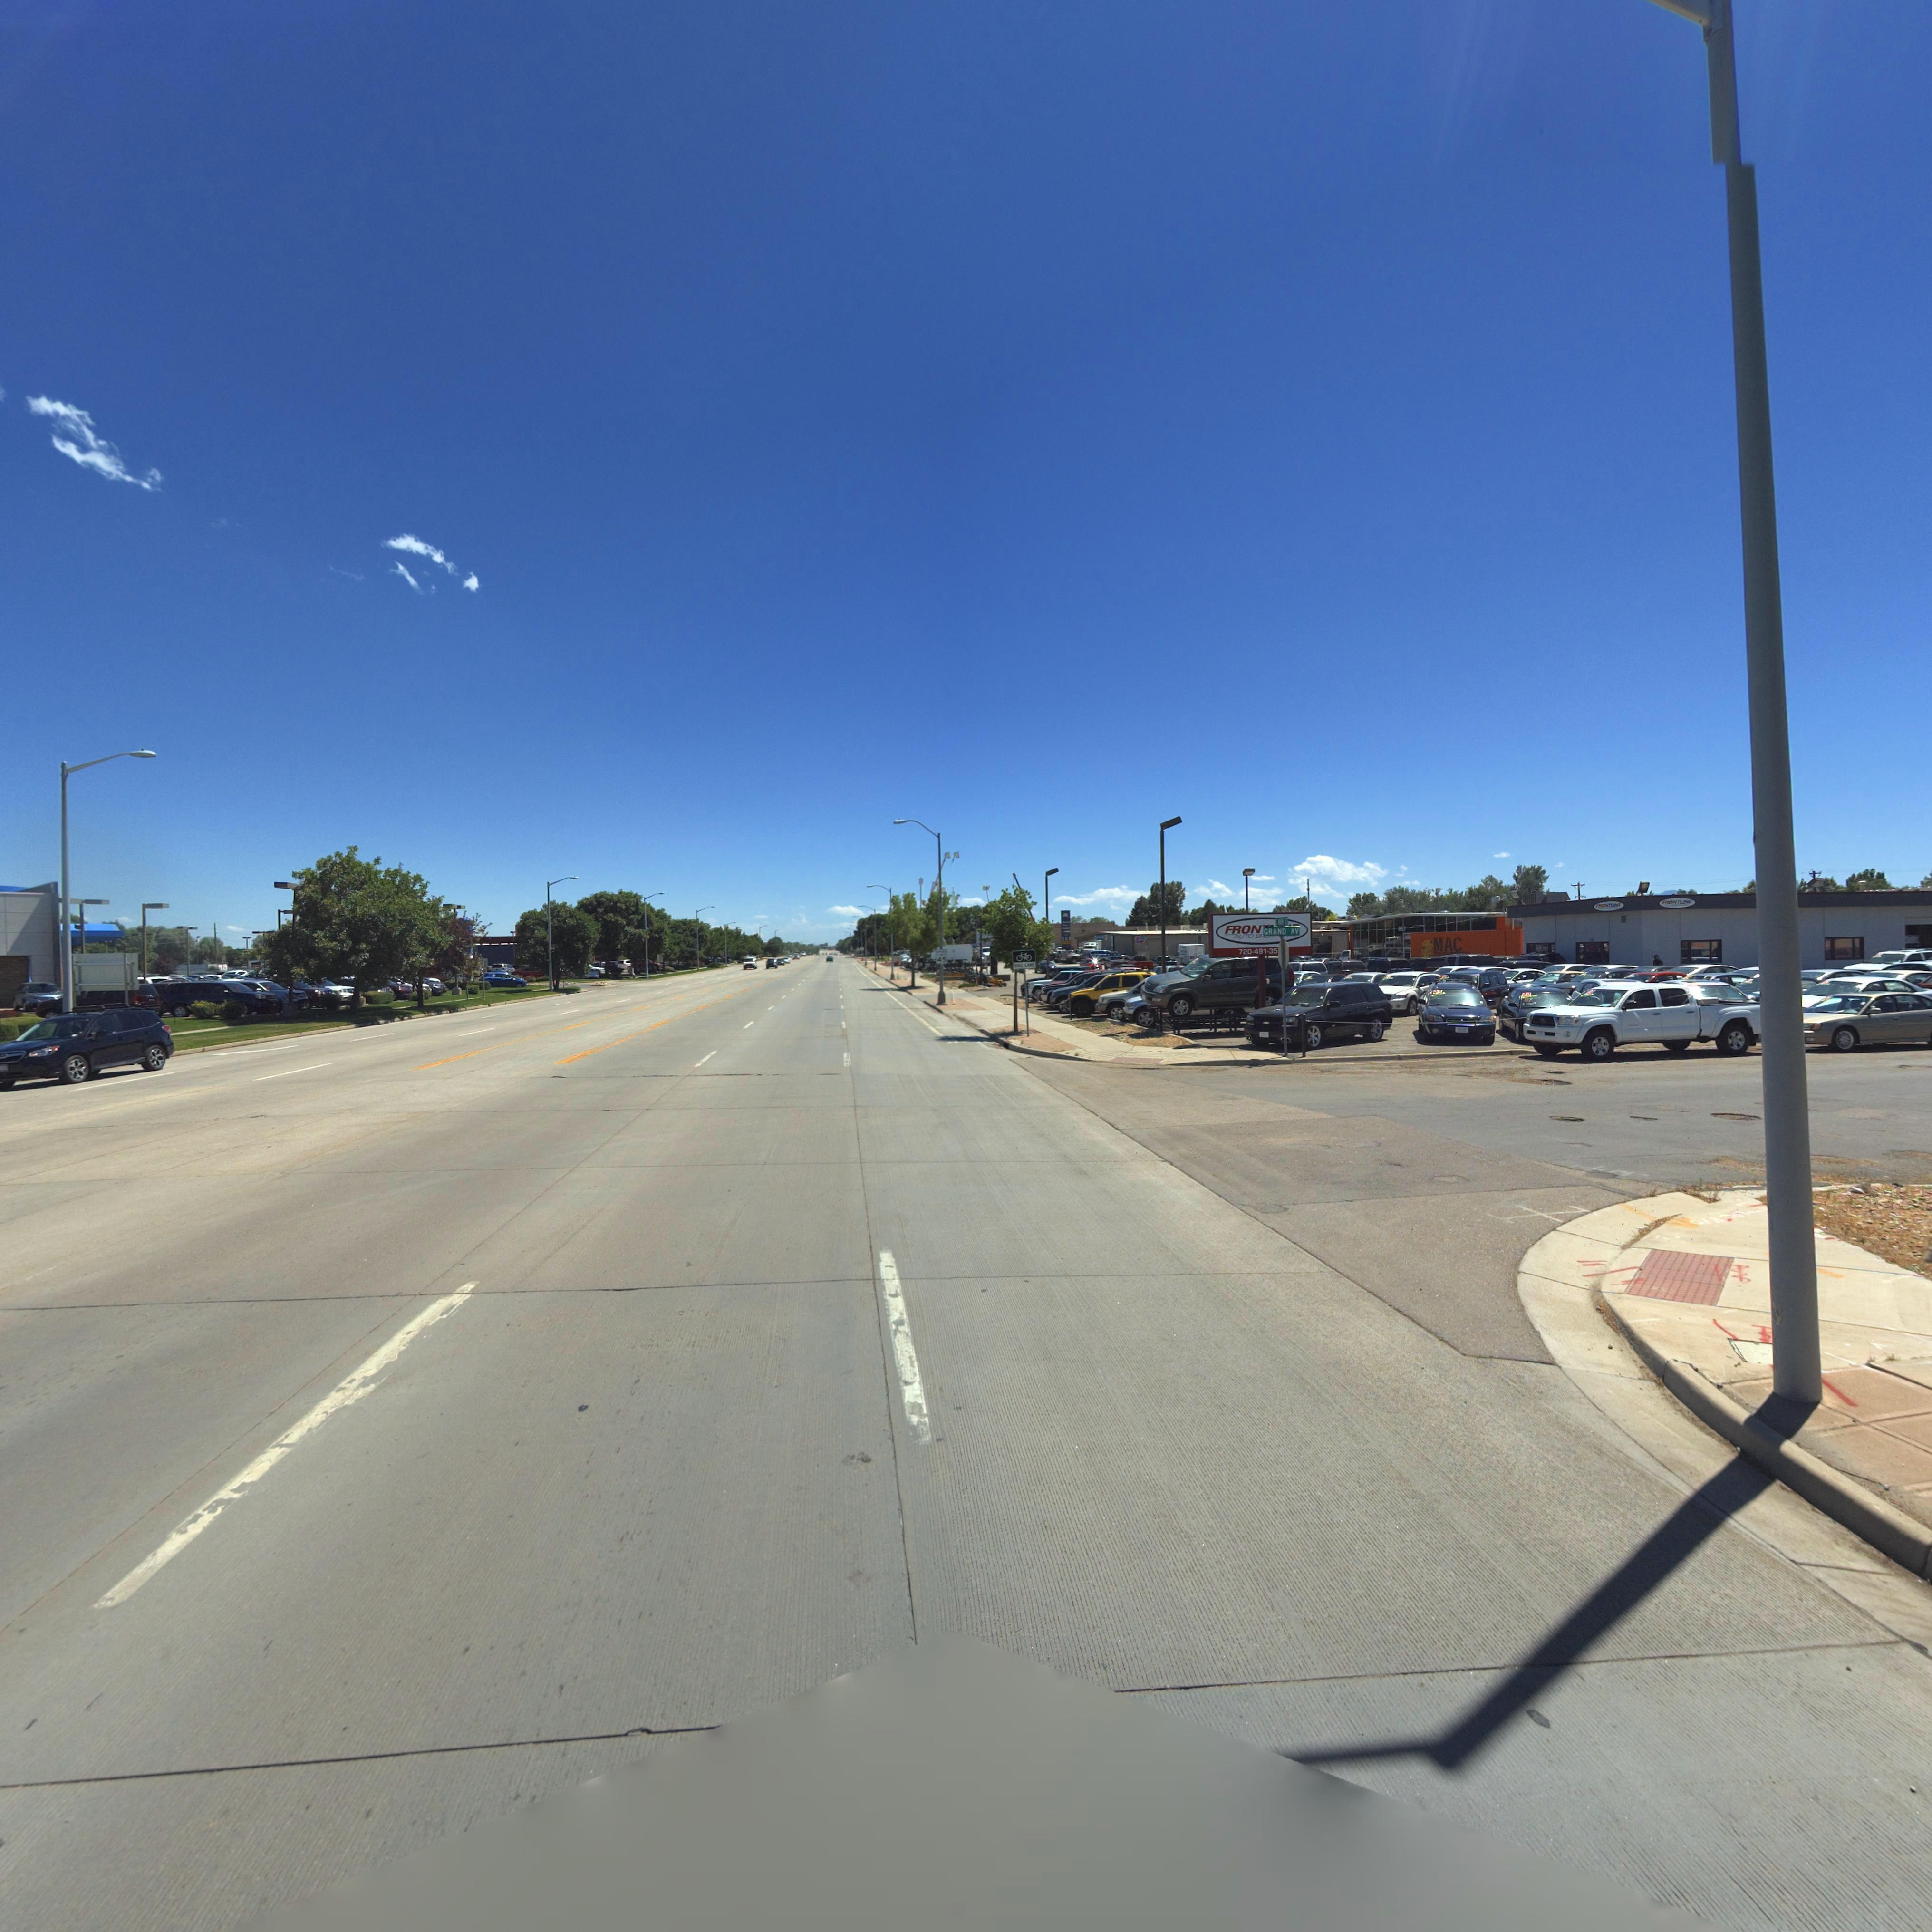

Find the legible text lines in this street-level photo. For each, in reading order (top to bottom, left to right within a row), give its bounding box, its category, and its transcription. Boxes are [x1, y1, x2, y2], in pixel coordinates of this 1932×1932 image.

[1595, 902, 1621, 908] BusinessName: FRO*TLI**
[1662, 899, 1692, 904] BusinessName: FRO*TLI**
[1275, 918, 1288, 925] StreetName: S M*** ST
[1224, 924, 1262, 934] BusinessName: FRON
[1264, 927, 1299, 935] StreetName: GRAND AV
[1233, 933, 1261, 939] BusinessName: AUTO B
[1433, 937, 1462, 952] BusinessName: MAC